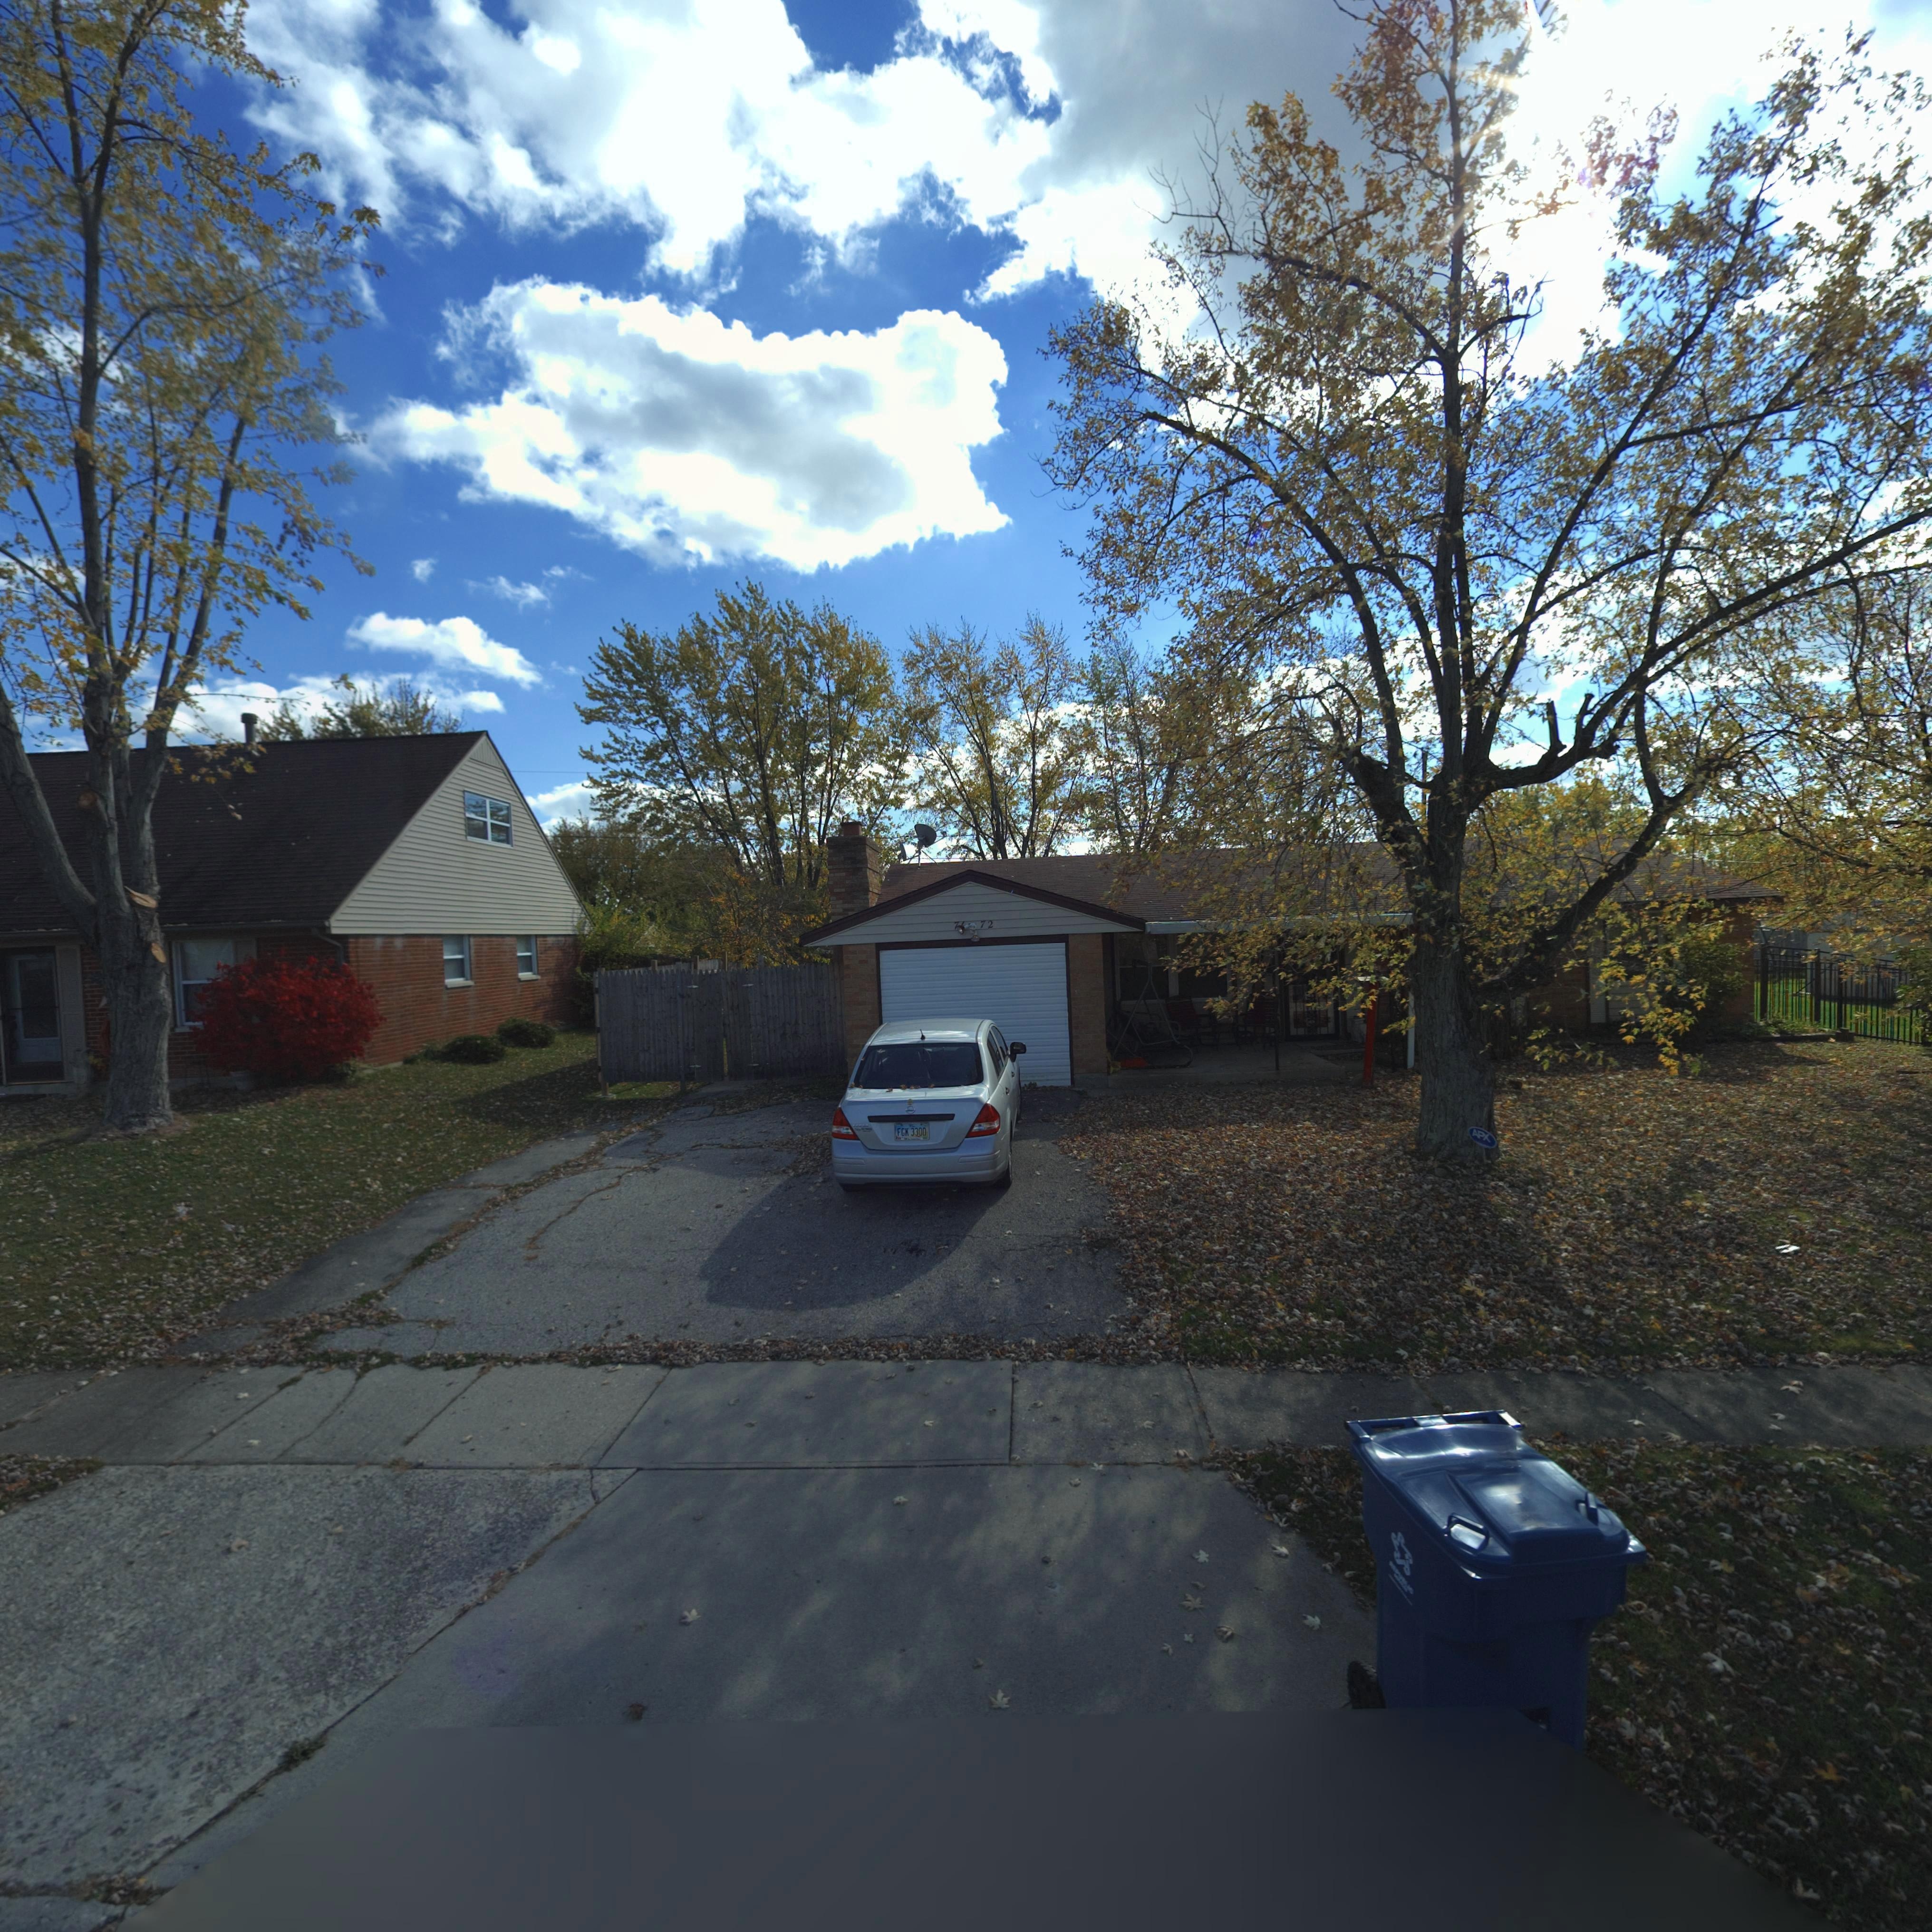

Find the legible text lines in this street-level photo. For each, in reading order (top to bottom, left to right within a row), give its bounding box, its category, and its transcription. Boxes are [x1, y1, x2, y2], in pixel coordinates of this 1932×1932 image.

[954, 919, 994, 931] StreetNumber: 7**72